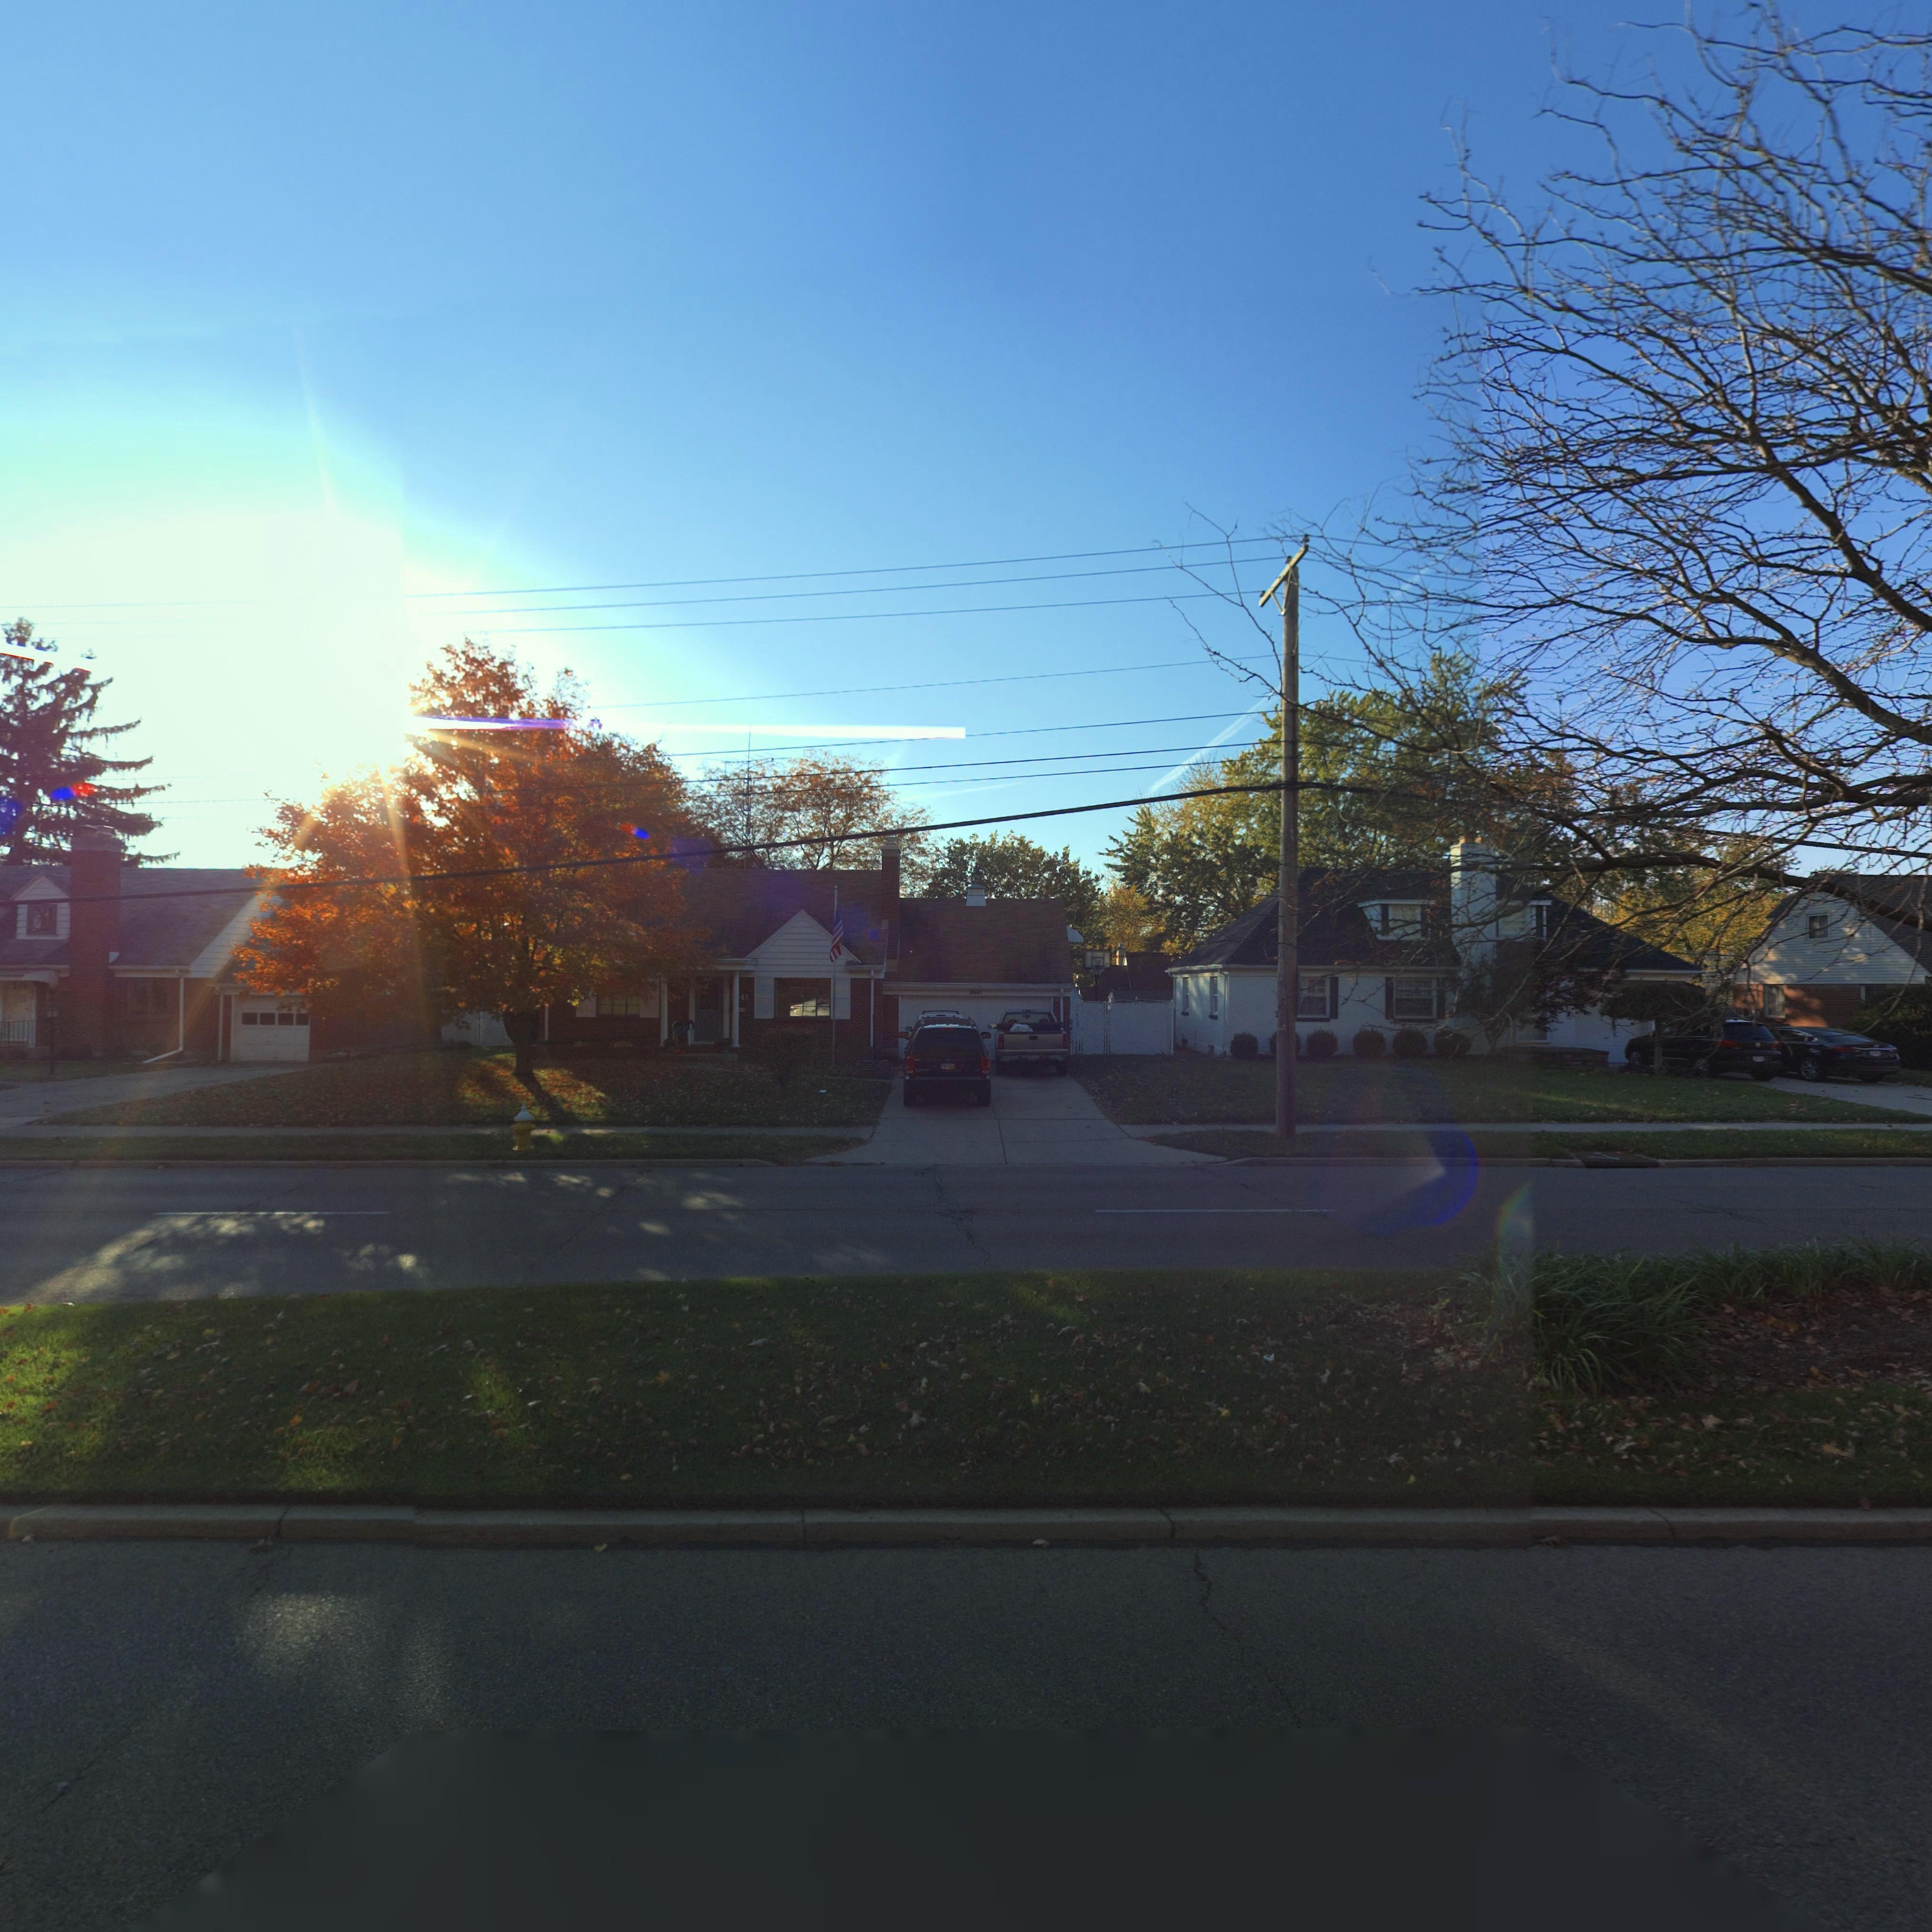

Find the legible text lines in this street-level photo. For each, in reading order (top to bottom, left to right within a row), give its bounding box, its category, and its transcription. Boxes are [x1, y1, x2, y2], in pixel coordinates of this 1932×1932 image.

[969, 990, 983, 995] StreetNumber: 3641